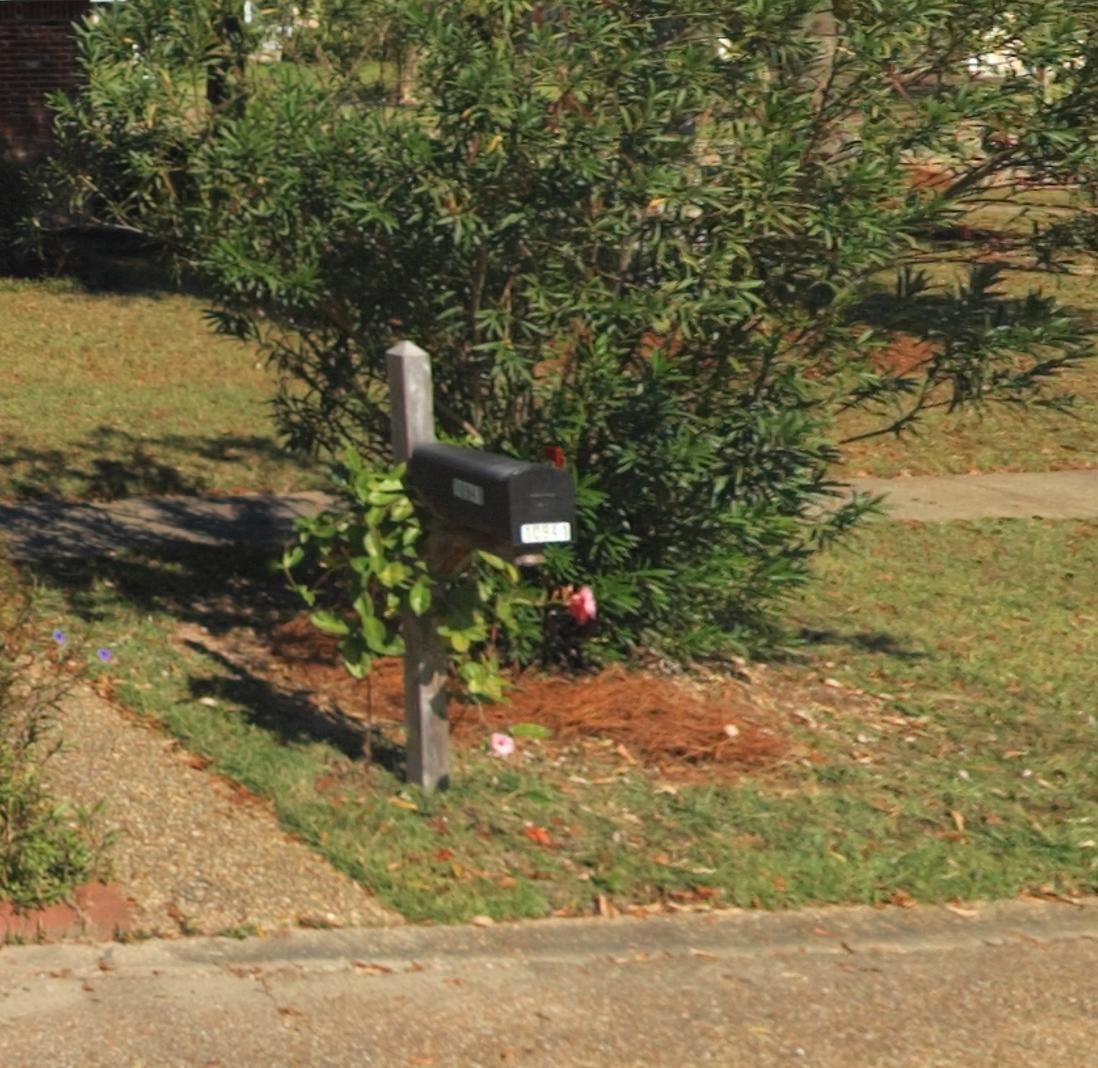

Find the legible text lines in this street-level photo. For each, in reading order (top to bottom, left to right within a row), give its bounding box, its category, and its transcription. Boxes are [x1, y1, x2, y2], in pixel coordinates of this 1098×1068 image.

[454, 479, 483, 504] StreetNumber: 10941
[524, 523, 569, 543] StreetNumber: 10941